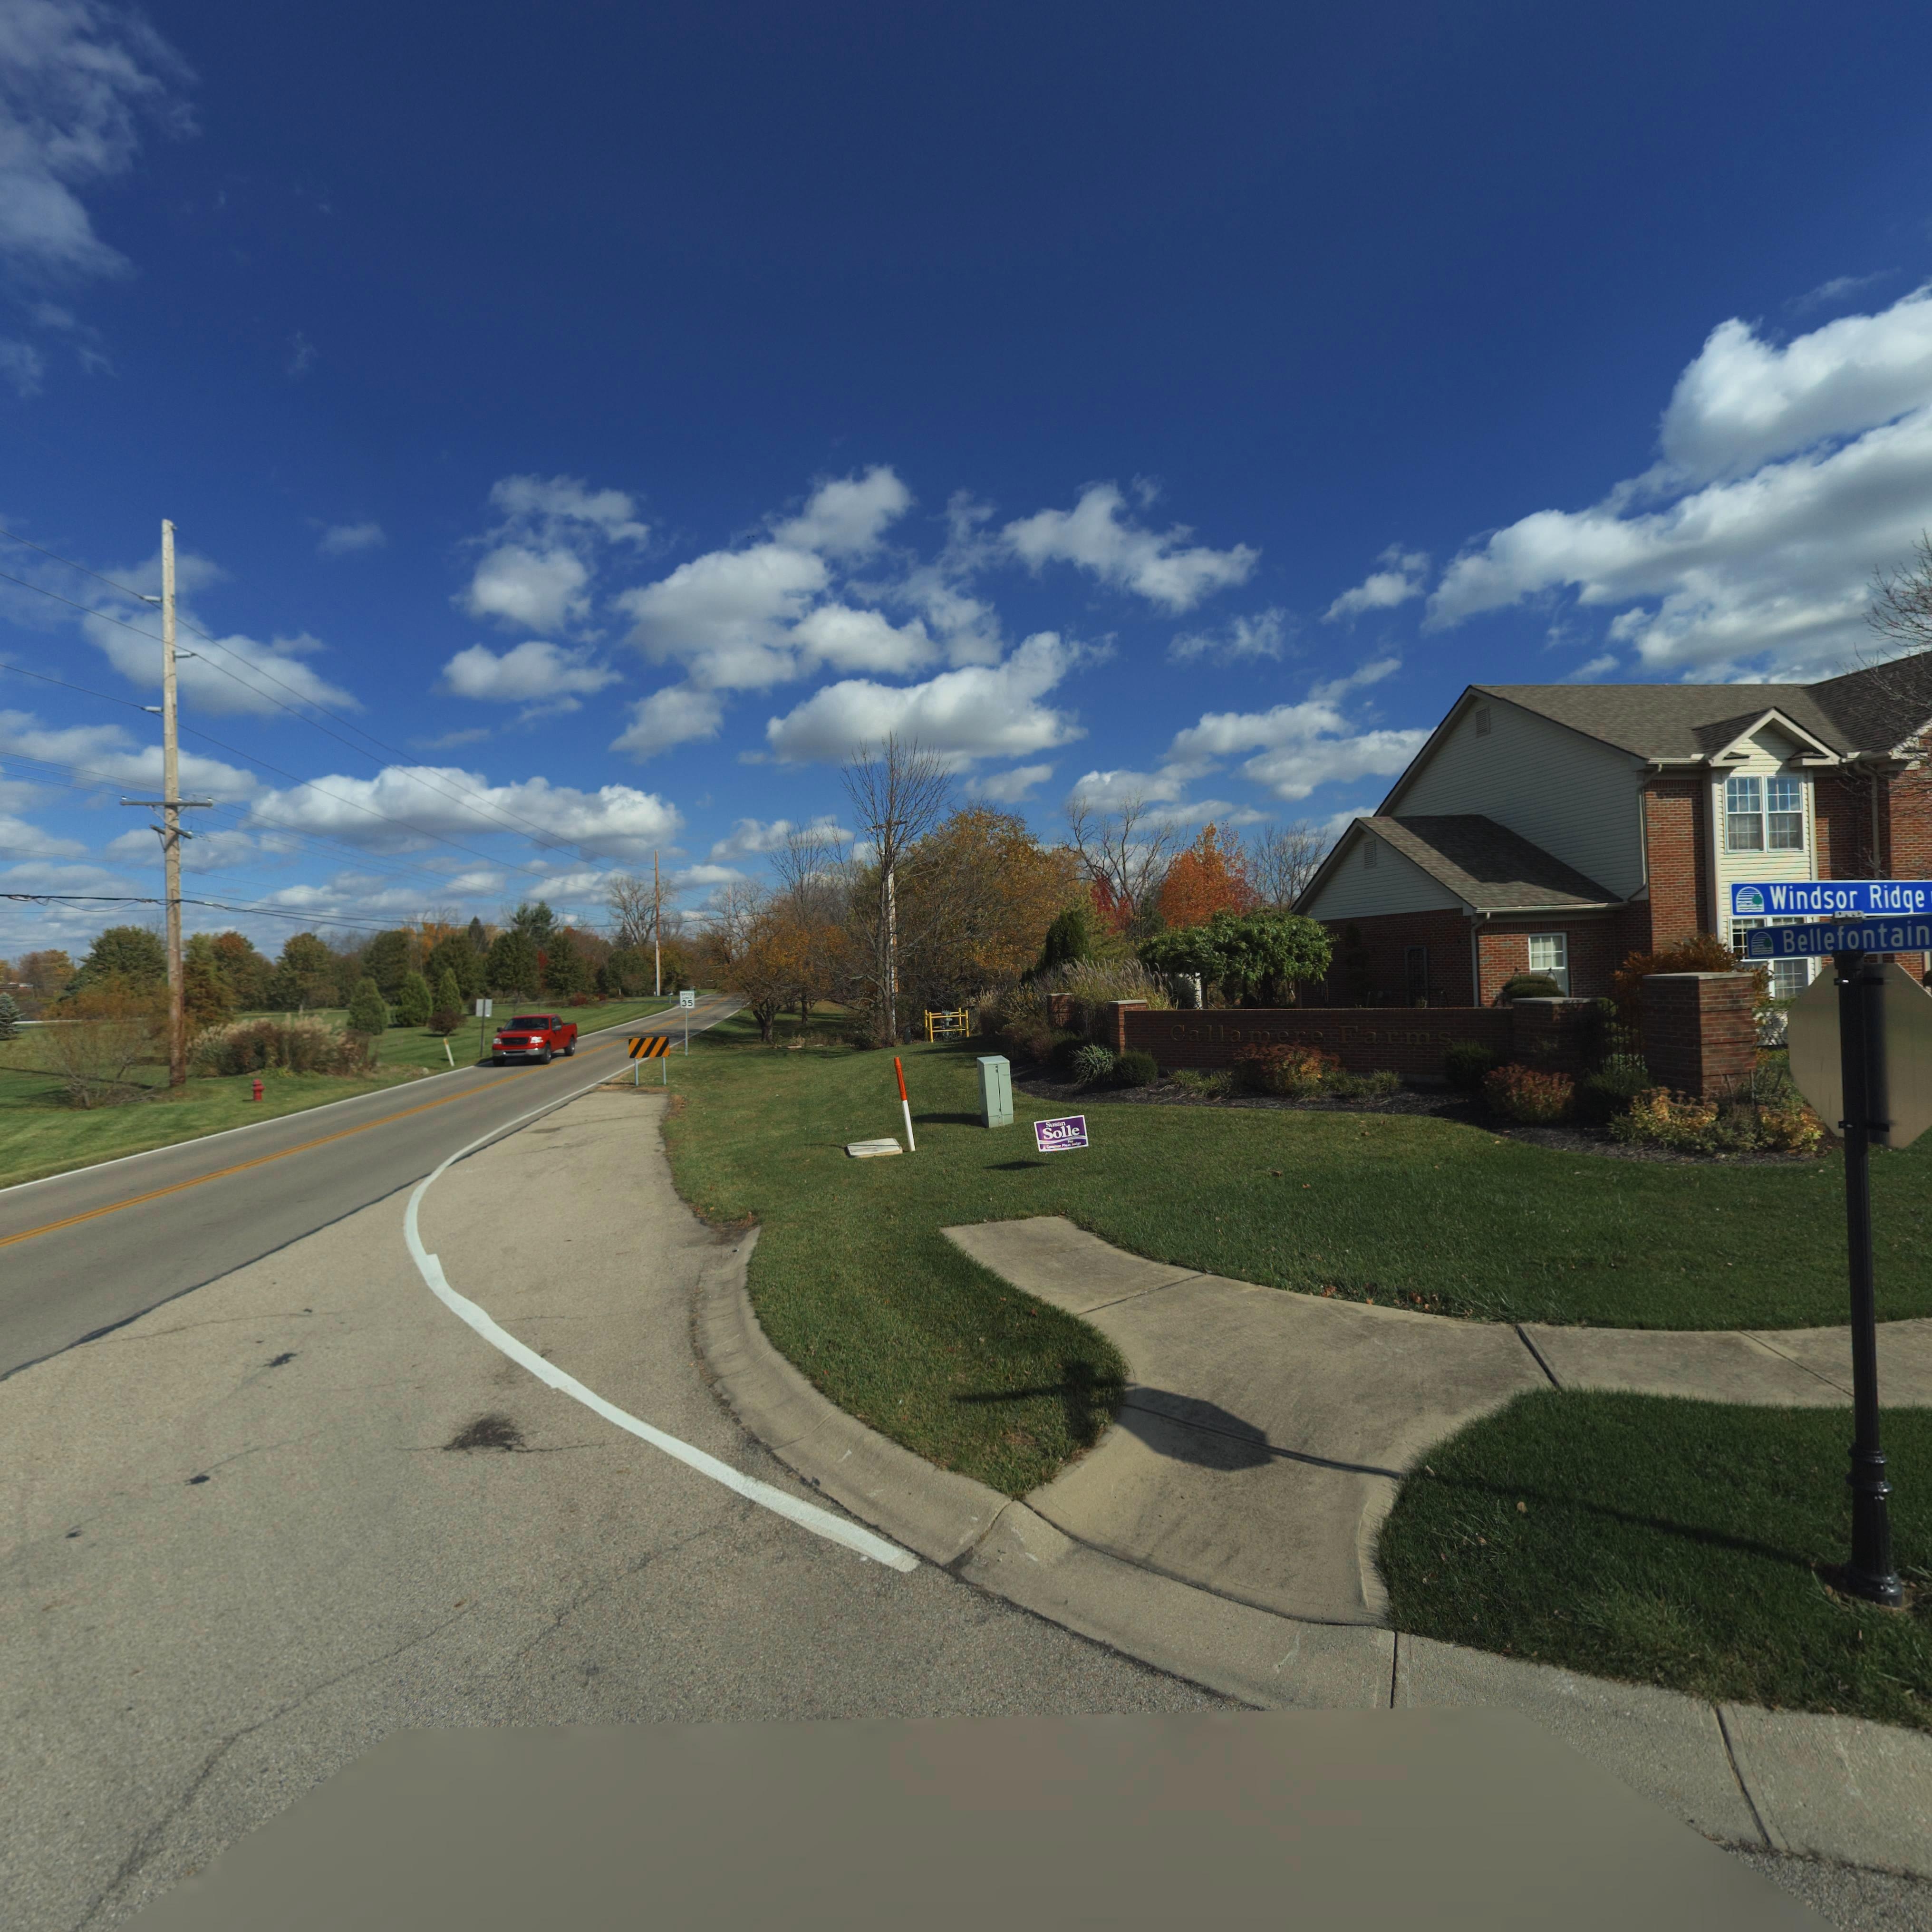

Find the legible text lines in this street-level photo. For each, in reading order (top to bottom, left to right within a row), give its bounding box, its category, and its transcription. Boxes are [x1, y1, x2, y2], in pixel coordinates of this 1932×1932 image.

[1767, 884, 1926, 914] StreetName: Windsor Ridge
[1781, 919, 1931, 954] StreetName: Bellefontain